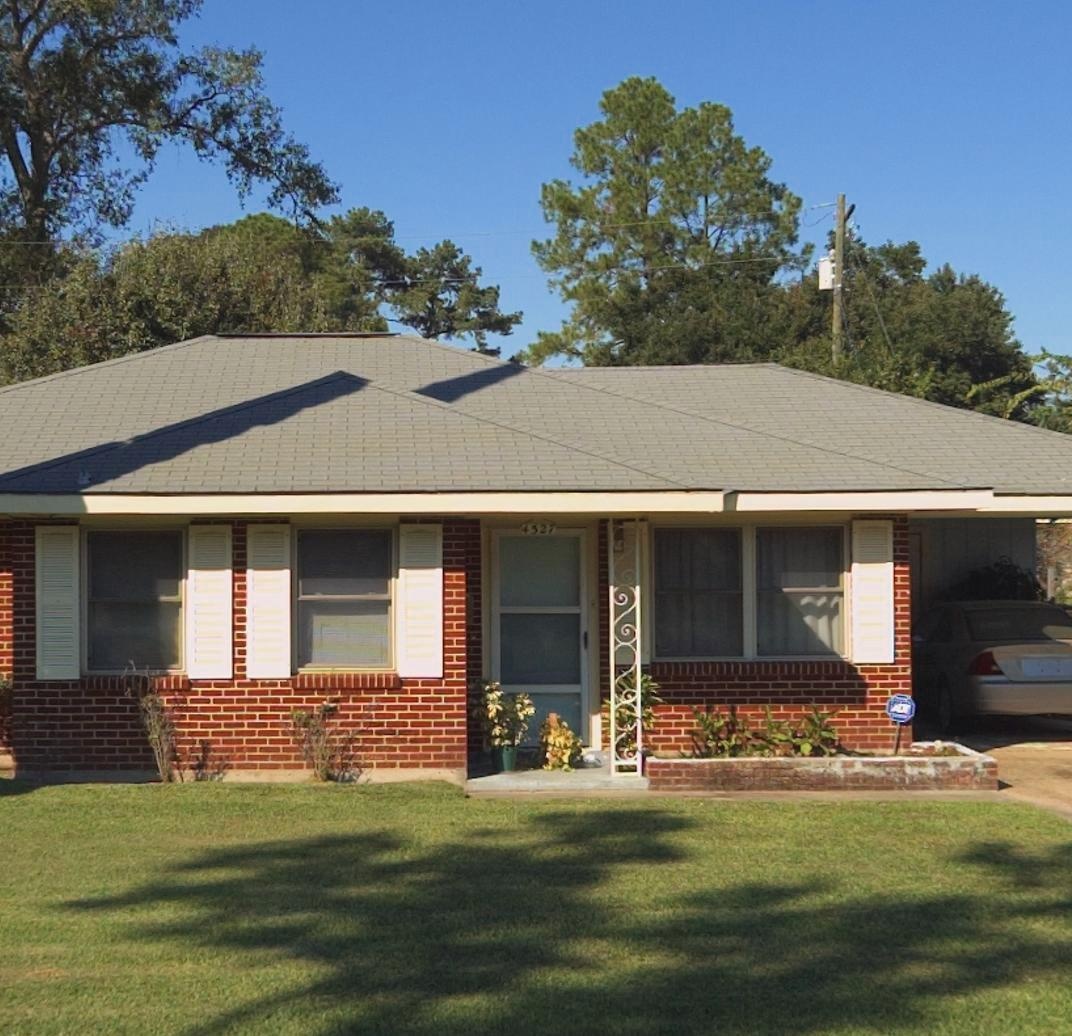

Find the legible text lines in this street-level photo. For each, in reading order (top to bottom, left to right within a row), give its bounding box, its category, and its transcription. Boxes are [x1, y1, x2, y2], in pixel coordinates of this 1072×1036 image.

[520, 523, 556, 536] StreetNumber: 4527